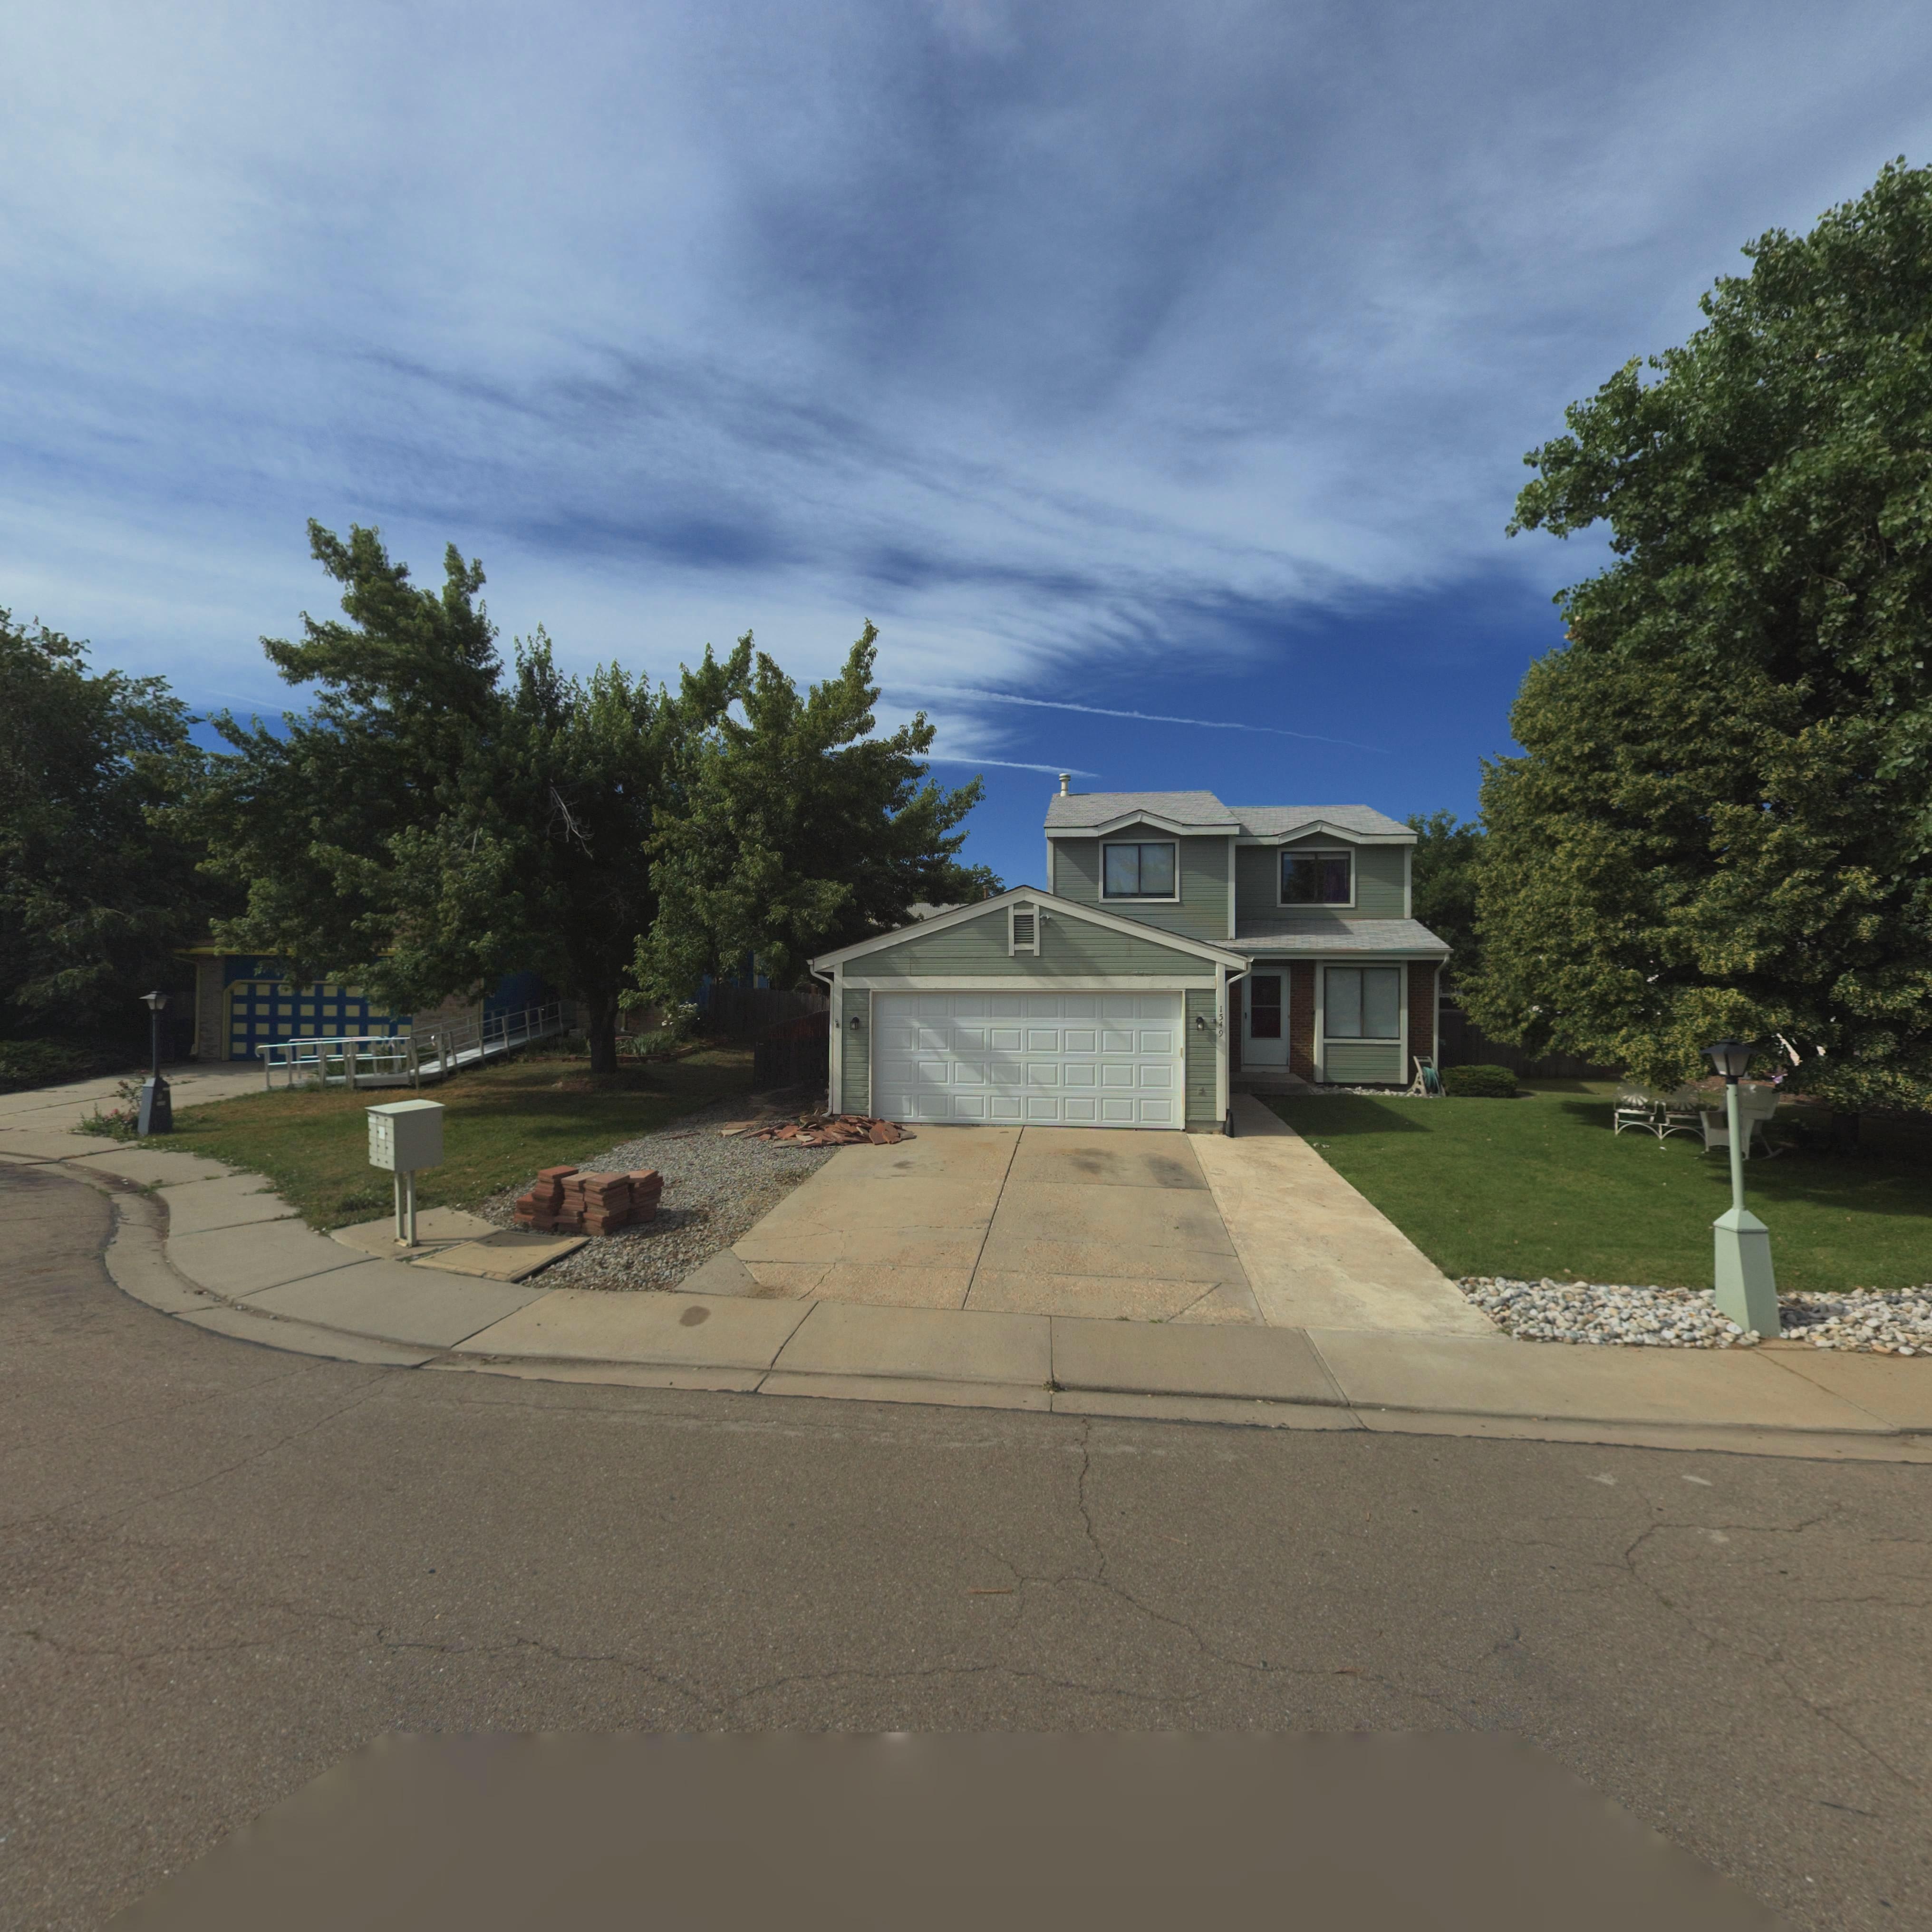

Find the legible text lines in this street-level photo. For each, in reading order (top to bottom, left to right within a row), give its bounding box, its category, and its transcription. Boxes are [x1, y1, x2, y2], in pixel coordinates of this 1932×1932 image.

[1218, 1005, 1224, 1038] StreetNumber: 1549